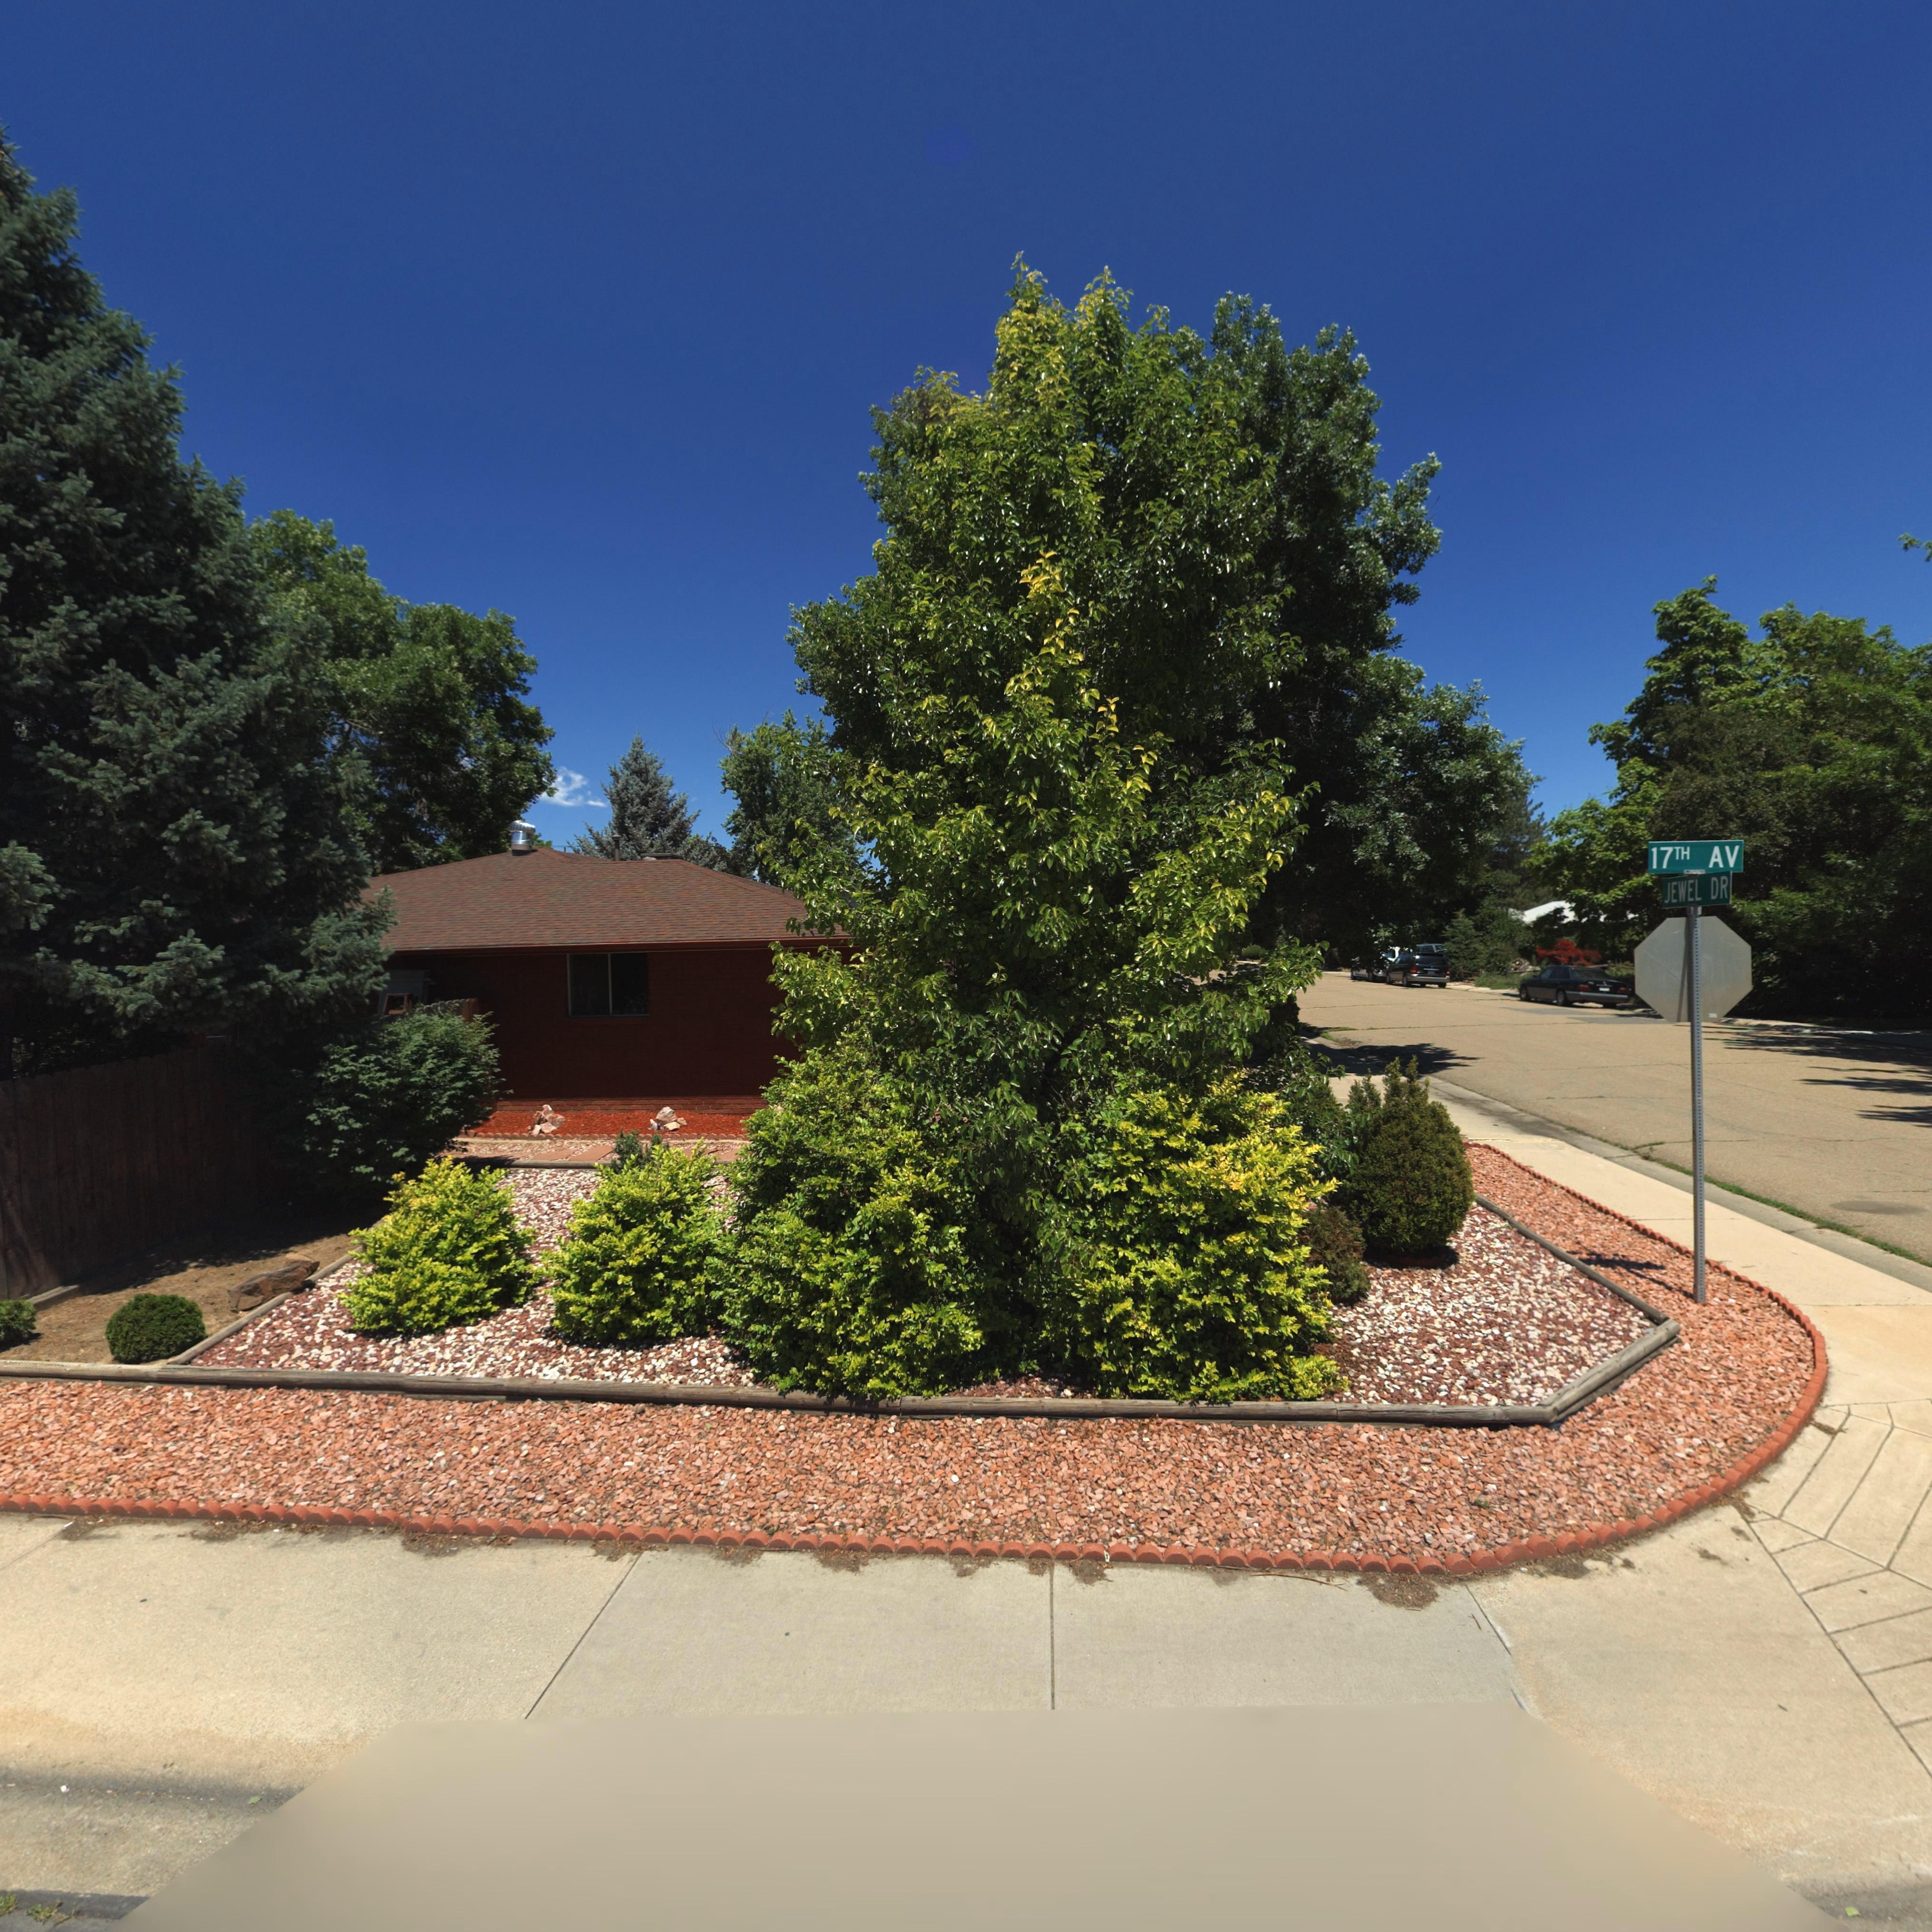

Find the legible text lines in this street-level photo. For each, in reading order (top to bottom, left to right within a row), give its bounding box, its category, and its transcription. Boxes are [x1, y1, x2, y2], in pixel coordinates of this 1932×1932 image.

[1651, 844, 1740, 869] StreetName: 17TH AV
[1663, 875, 1728, 904] StreetName: JEWEL DR